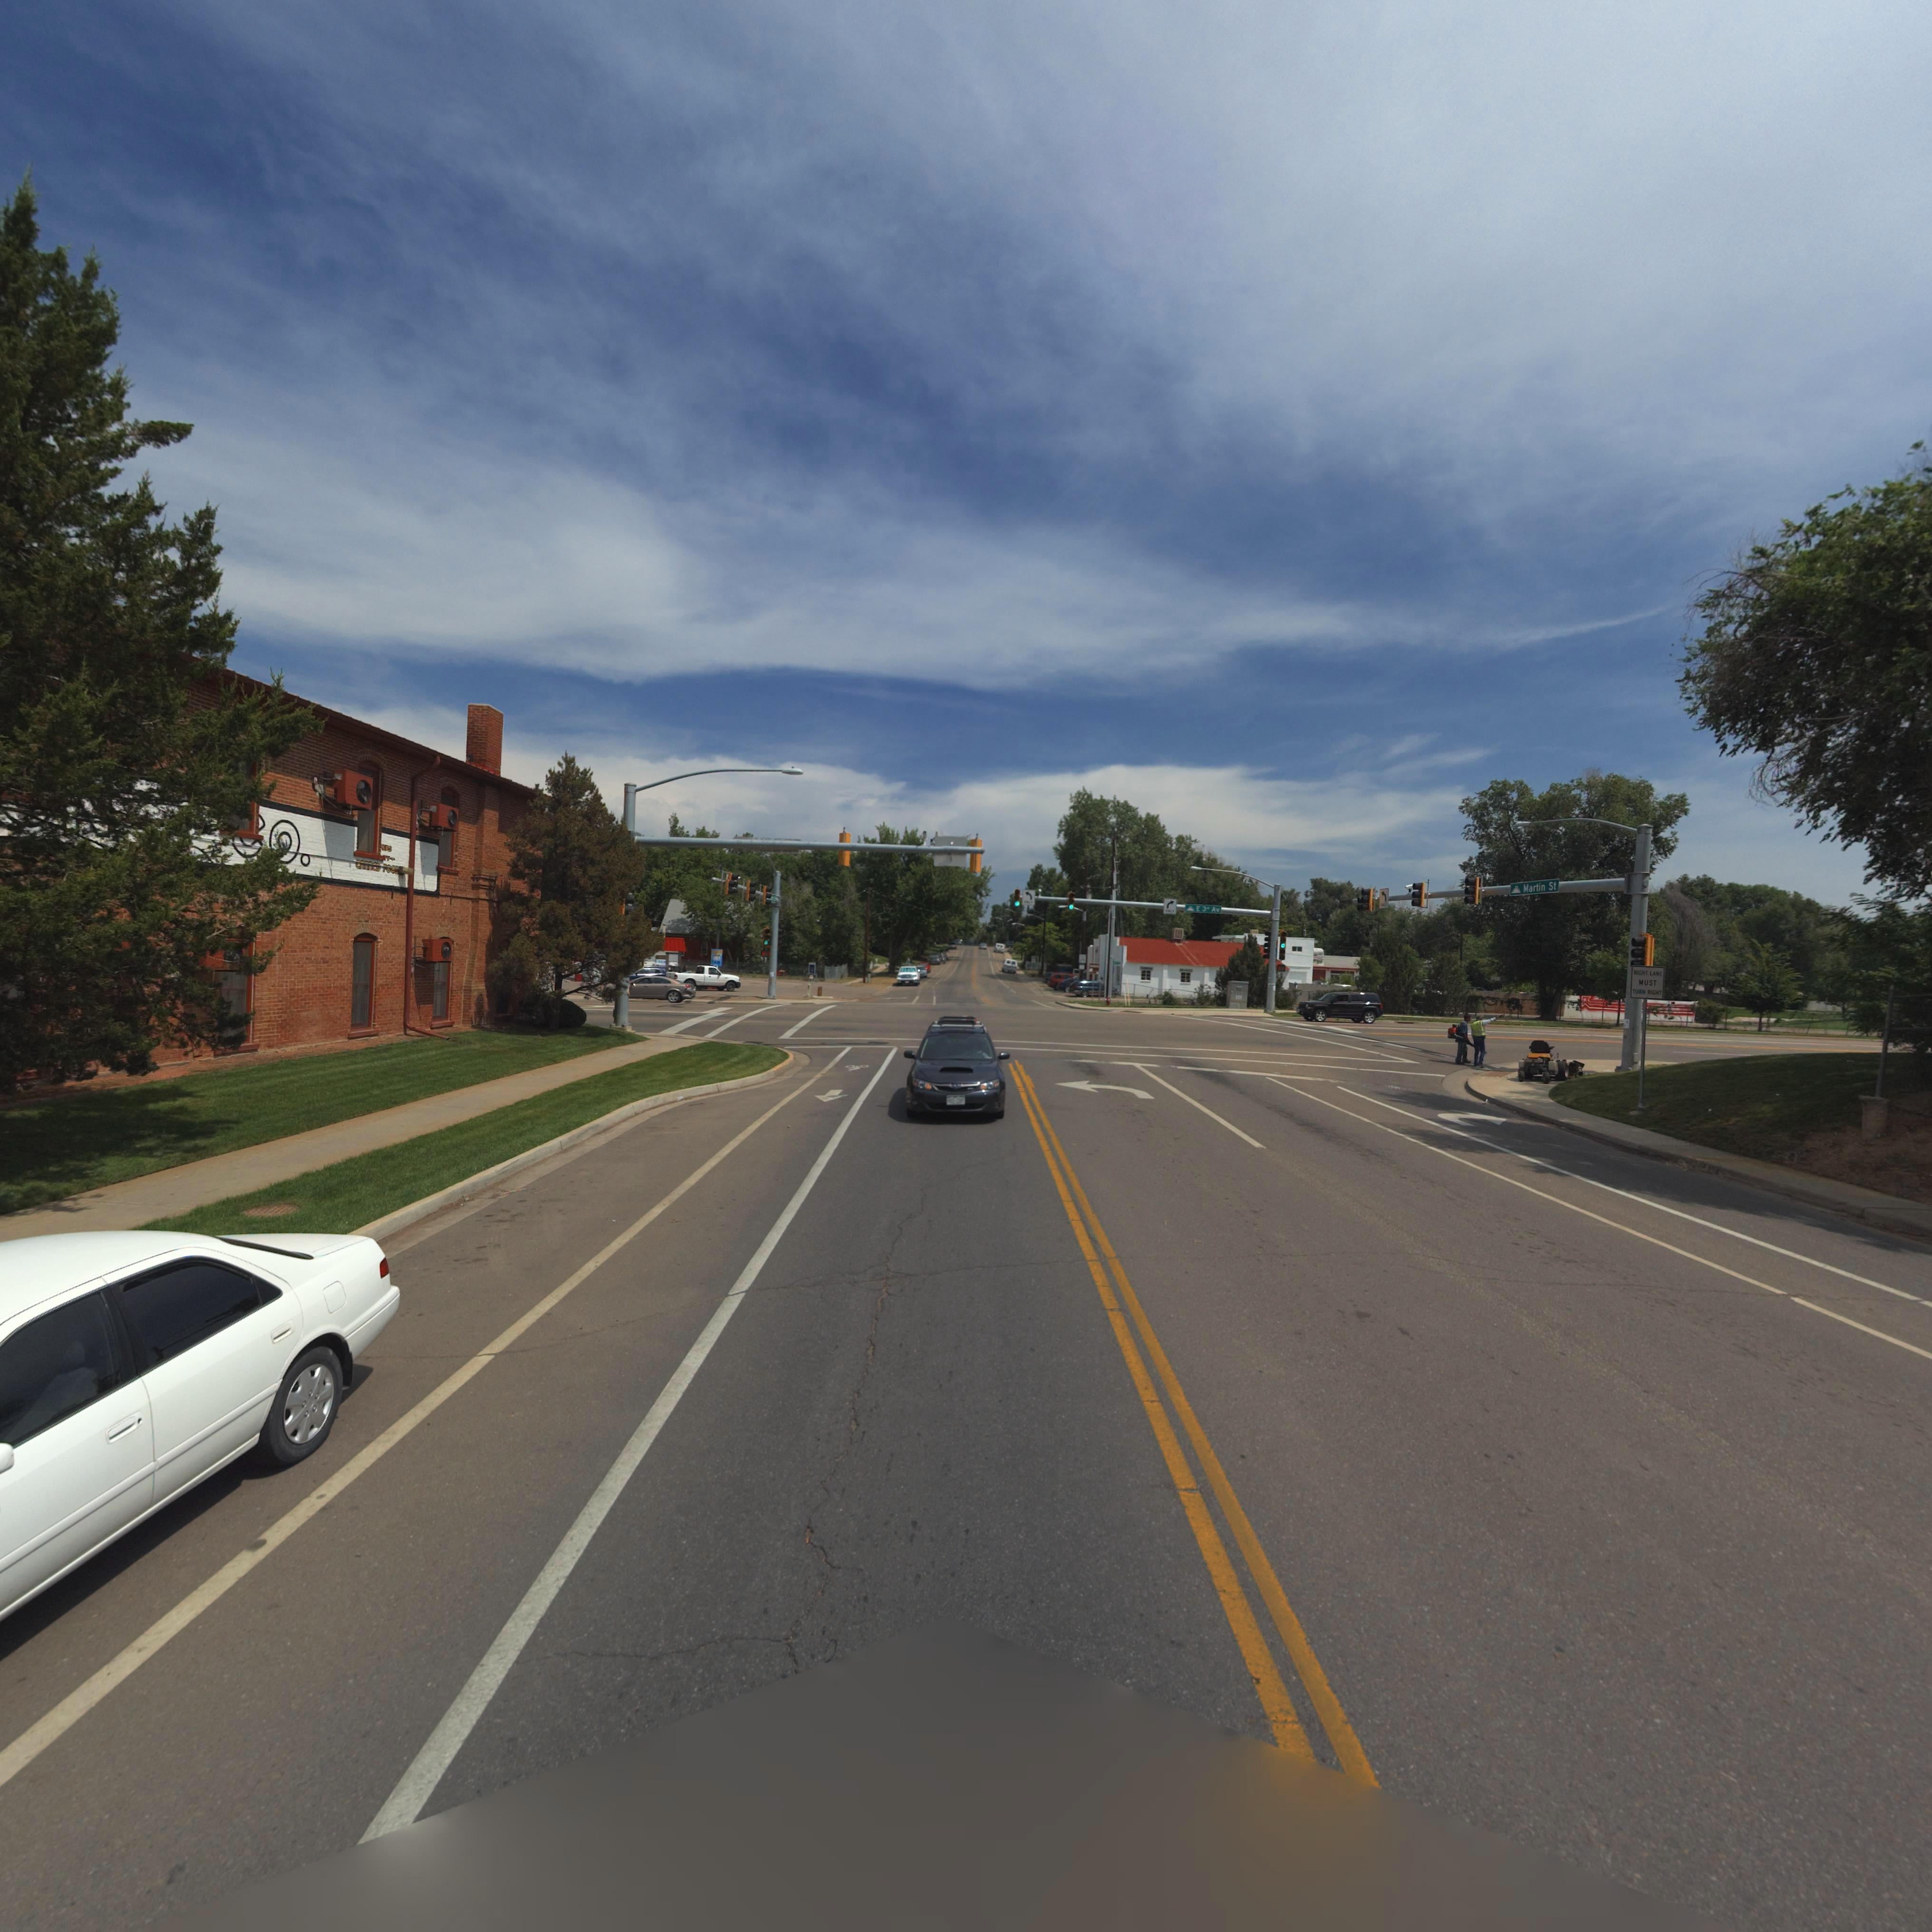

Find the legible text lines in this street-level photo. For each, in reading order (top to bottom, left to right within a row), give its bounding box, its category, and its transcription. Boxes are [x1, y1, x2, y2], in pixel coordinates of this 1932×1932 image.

[1523, 881, 1556, 893] StreetName: Martin St
[1196, 906, 1220, 912] StreetName: E 3** Av